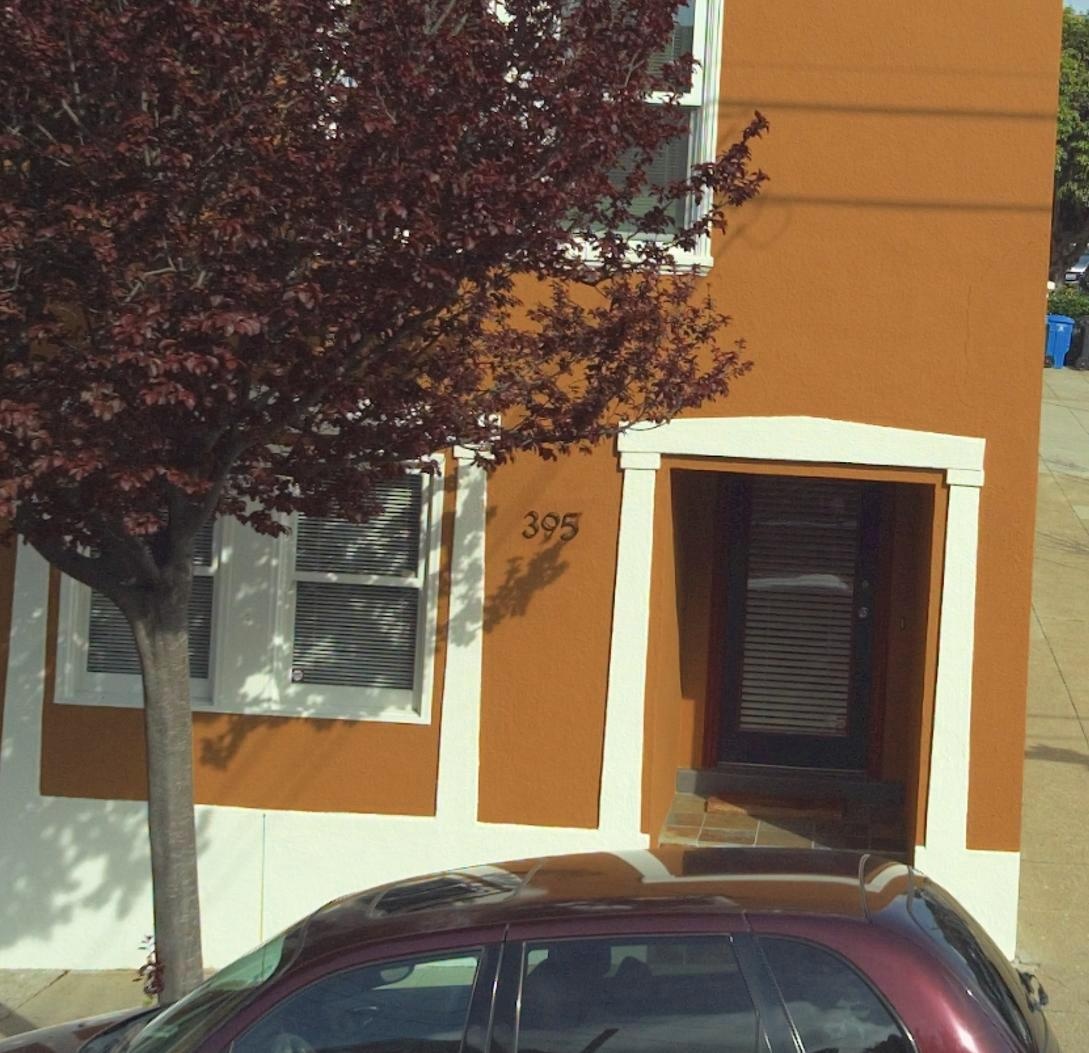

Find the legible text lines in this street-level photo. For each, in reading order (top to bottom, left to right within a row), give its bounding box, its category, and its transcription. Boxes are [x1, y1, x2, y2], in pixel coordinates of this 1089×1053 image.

[521, 509, 579, 542] StreetNumber: 395